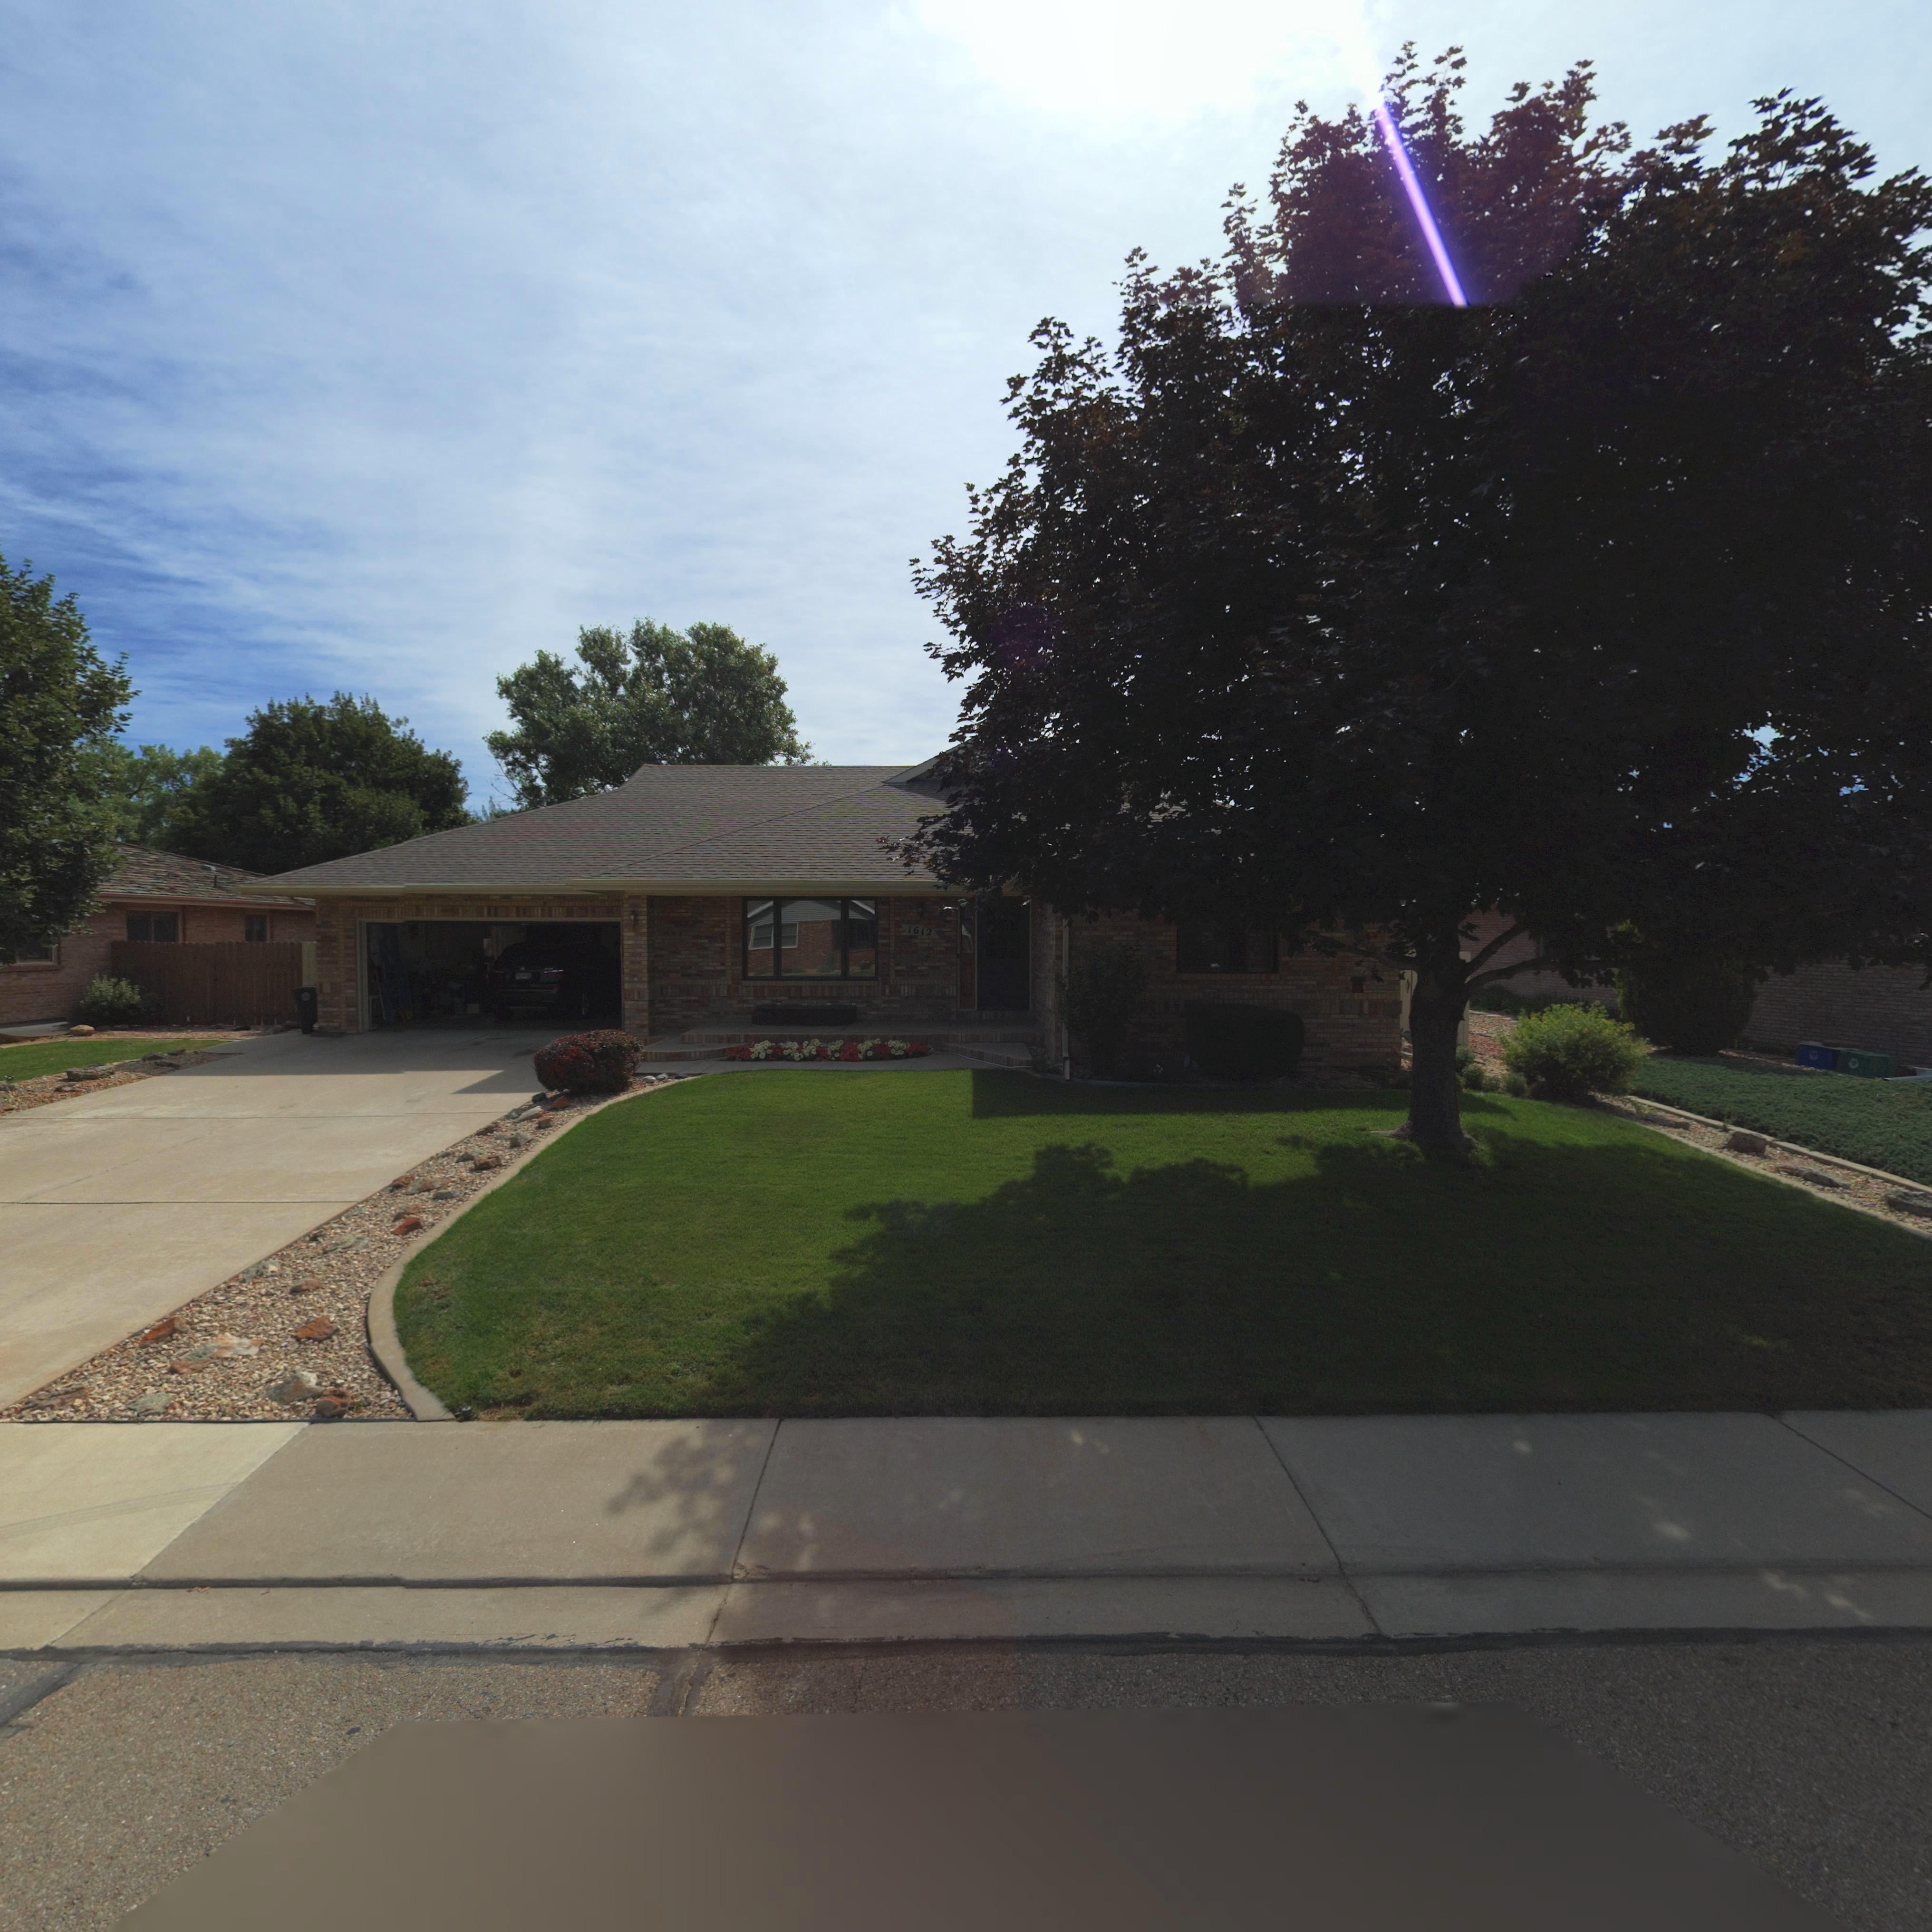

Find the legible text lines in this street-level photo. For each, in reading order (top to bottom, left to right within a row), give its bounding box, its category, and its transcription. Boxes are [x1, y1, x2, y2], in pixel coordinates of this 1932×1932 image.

[908, 925, 932, 936] StreetNumber: 1612